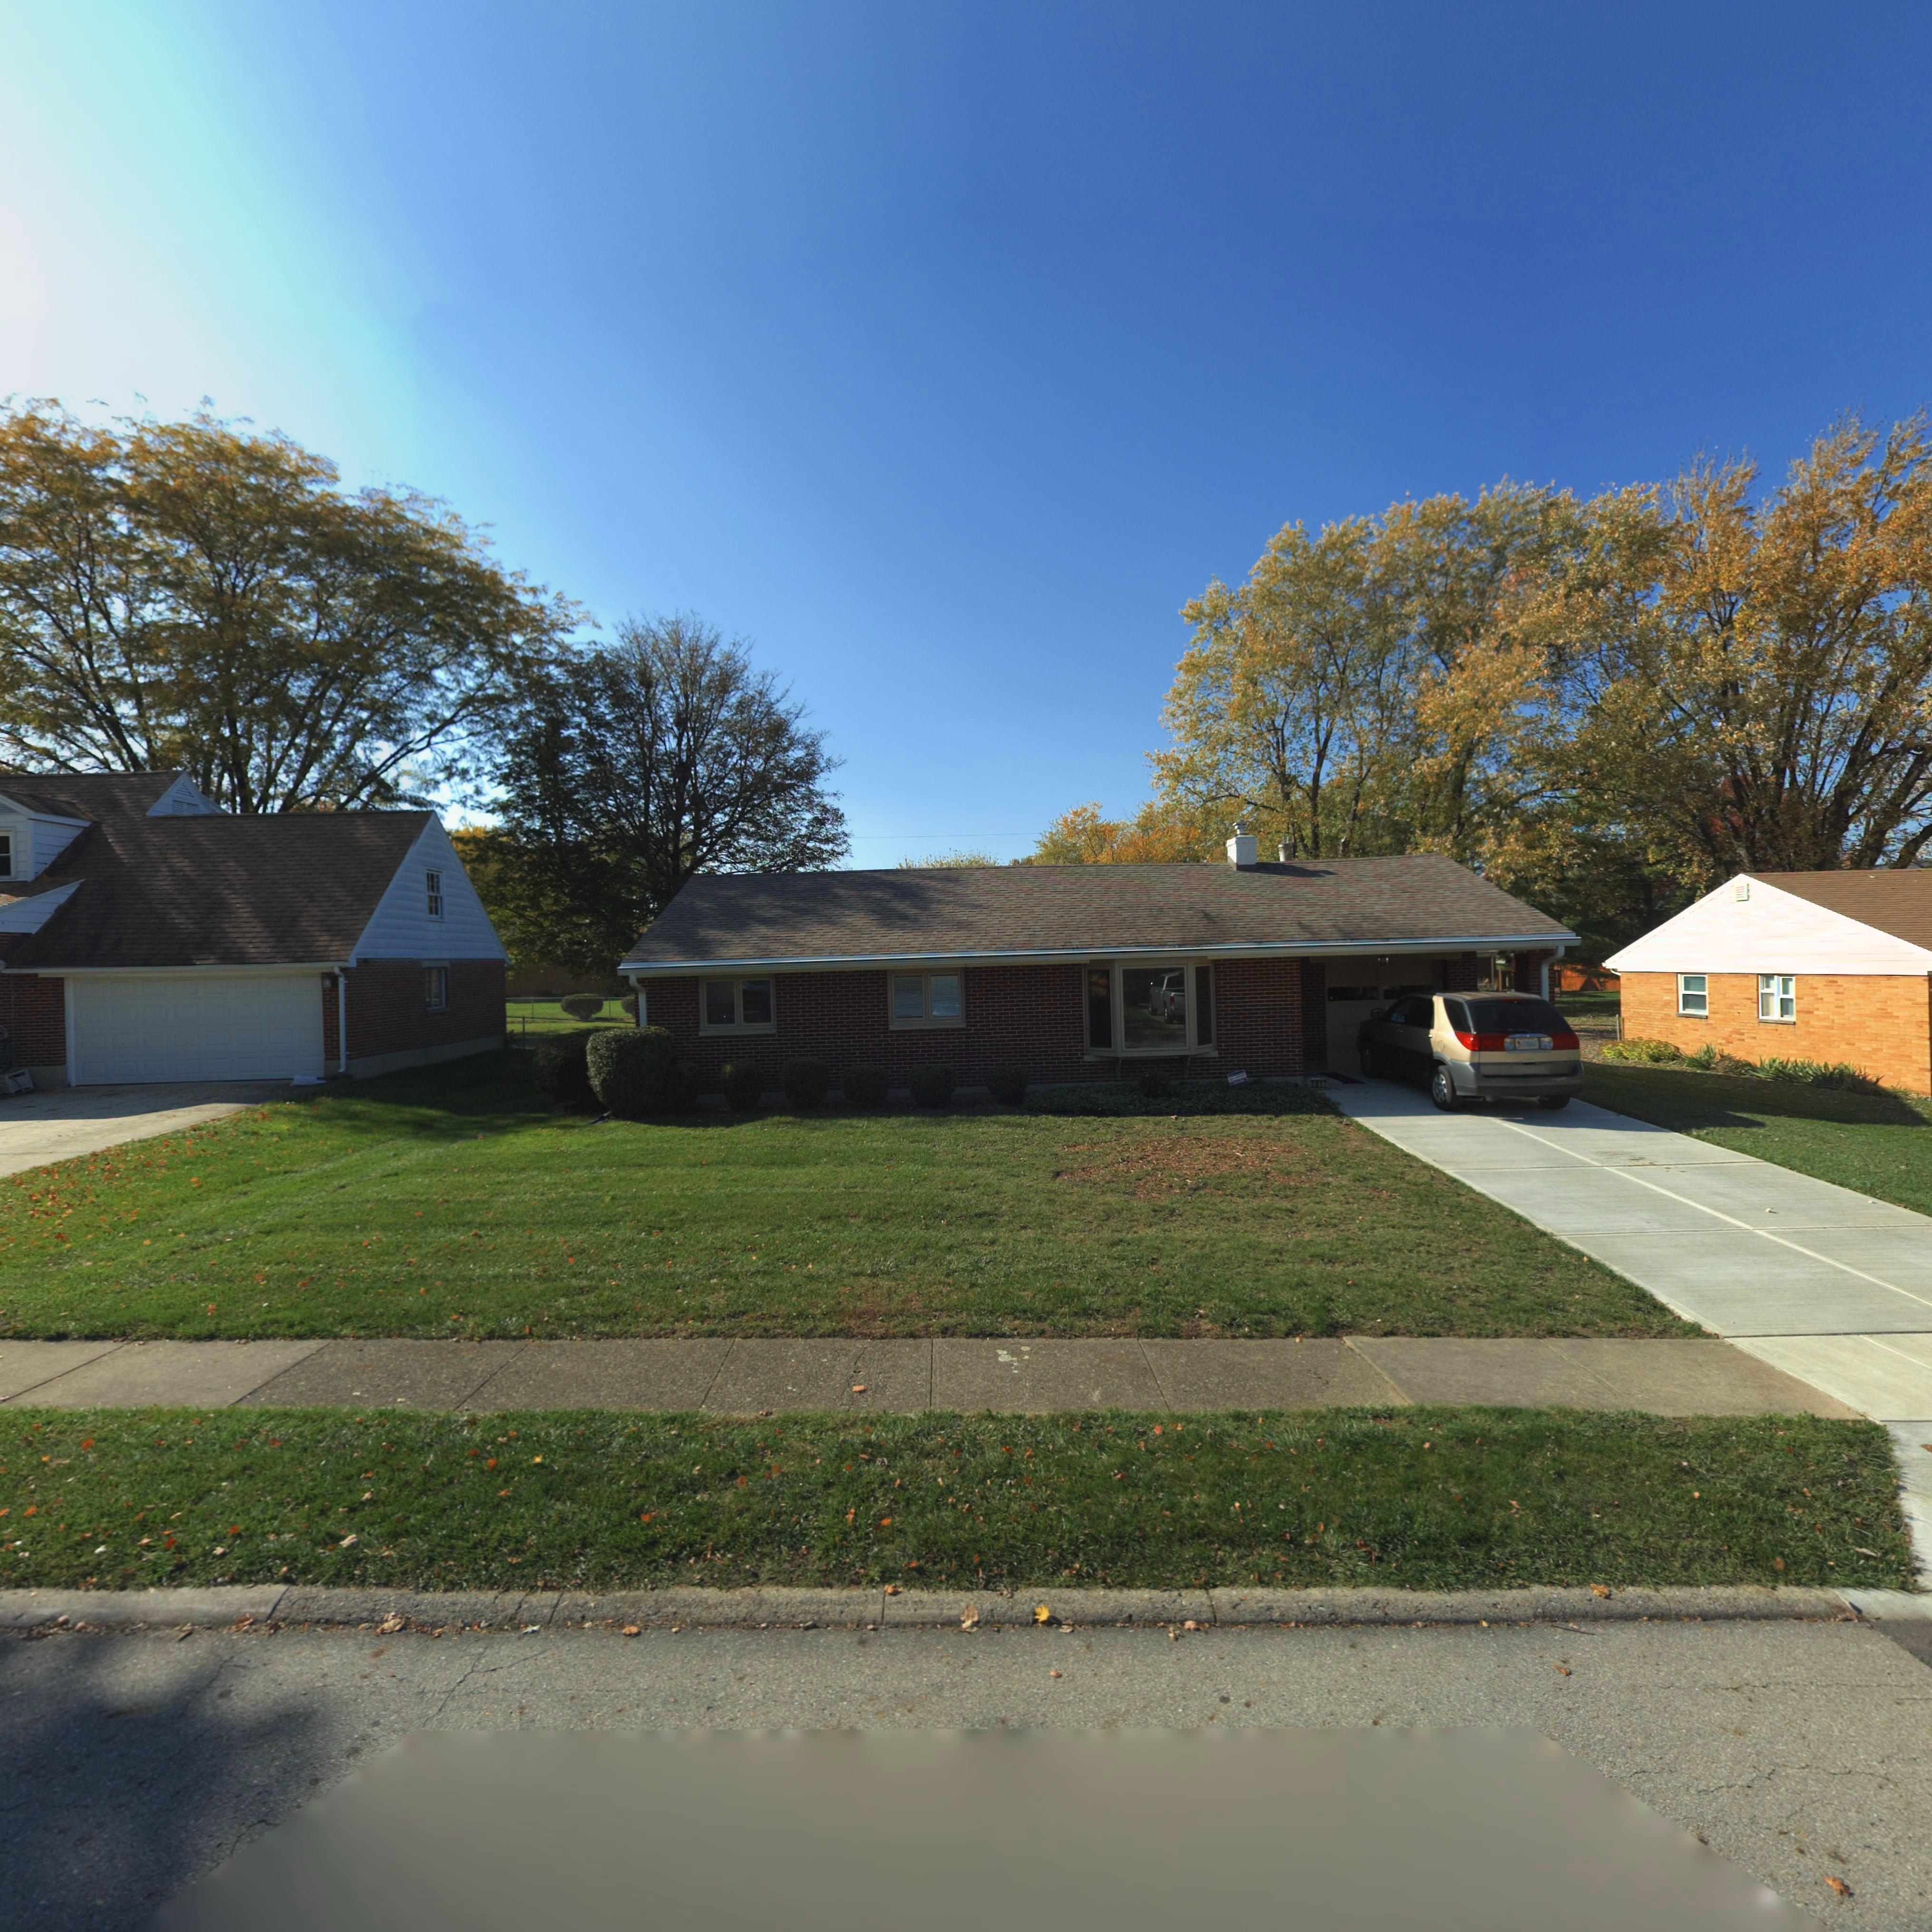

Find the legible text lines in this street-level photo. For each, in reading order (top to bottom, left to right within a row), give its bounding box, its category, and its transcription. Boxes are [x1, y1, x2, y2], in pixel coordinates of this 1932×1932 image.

[1310, 1080, 1327, 1089] StreetNumber: **17